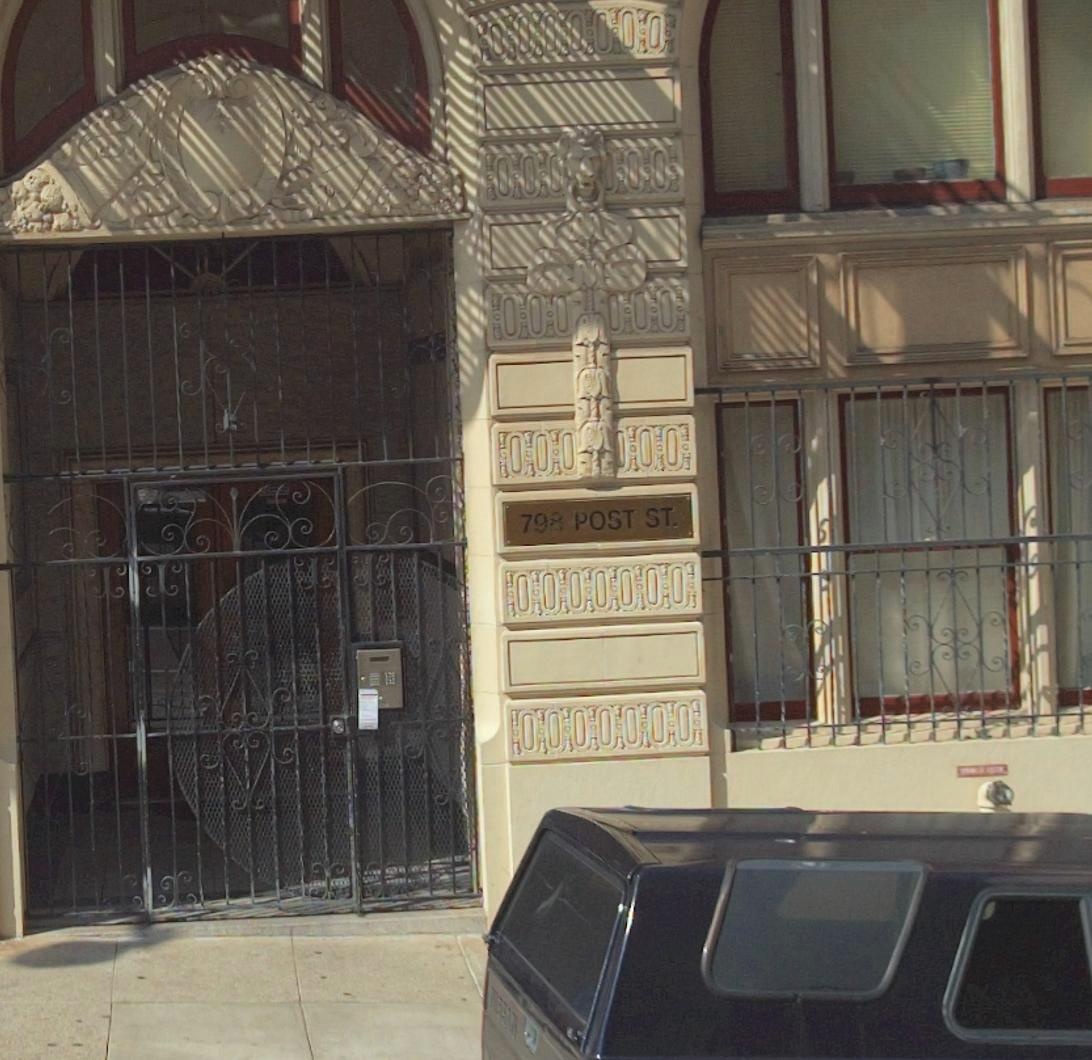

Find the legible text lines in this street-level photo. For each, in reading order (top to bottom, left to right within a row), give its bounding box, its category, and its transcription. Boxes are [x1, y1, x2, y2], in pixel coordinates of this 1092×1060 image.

[520, 511, 563, 535] StreetNumber: 798
[573, 506, 679, 532] StreetName: POST ST.